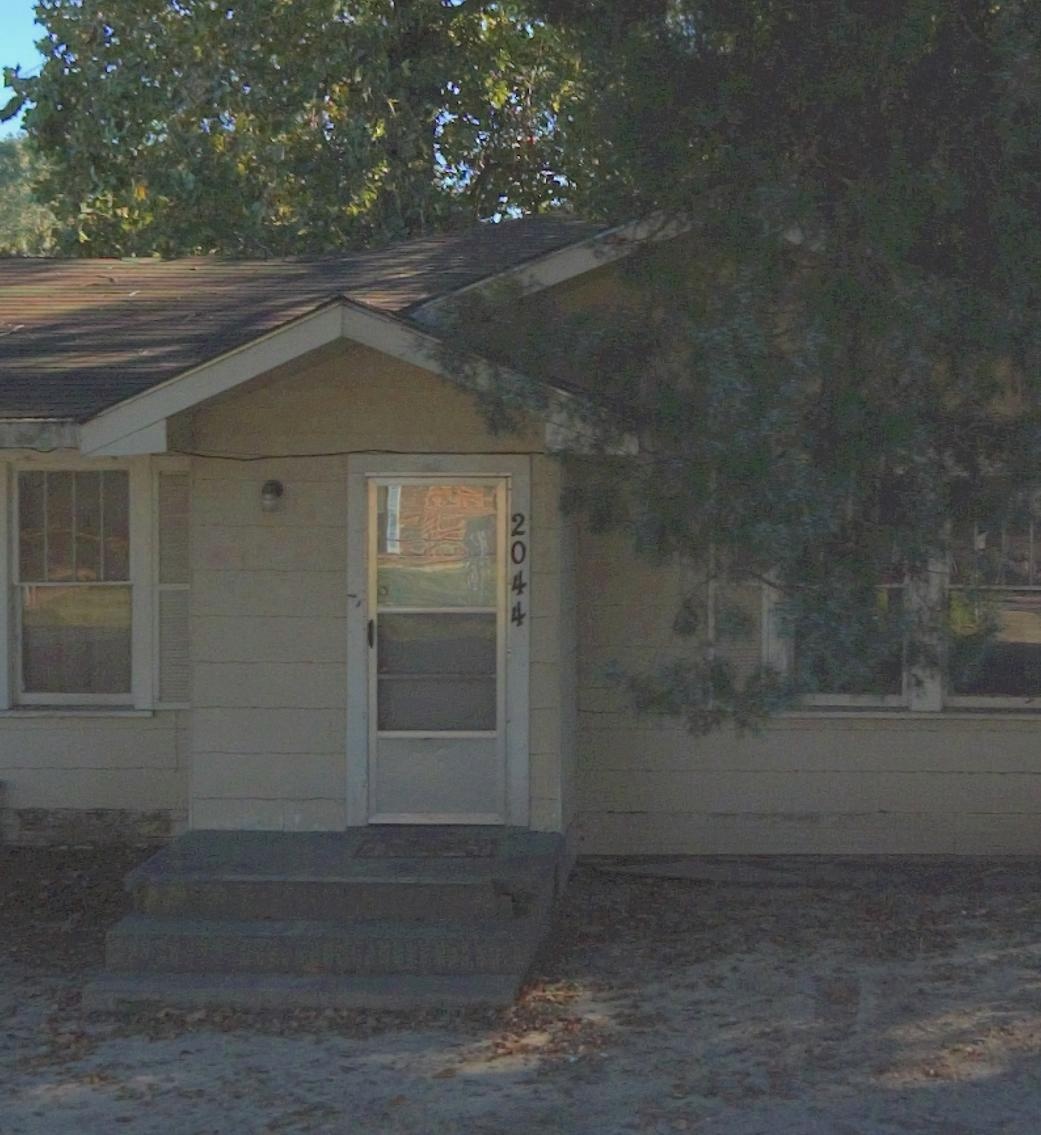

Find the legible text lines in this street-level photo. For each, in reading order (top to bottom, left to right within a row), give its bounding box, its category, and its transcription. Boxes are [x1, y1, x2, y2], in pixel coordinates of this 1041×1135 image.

[508, 512, 528, 628] StreetNumber: 2044